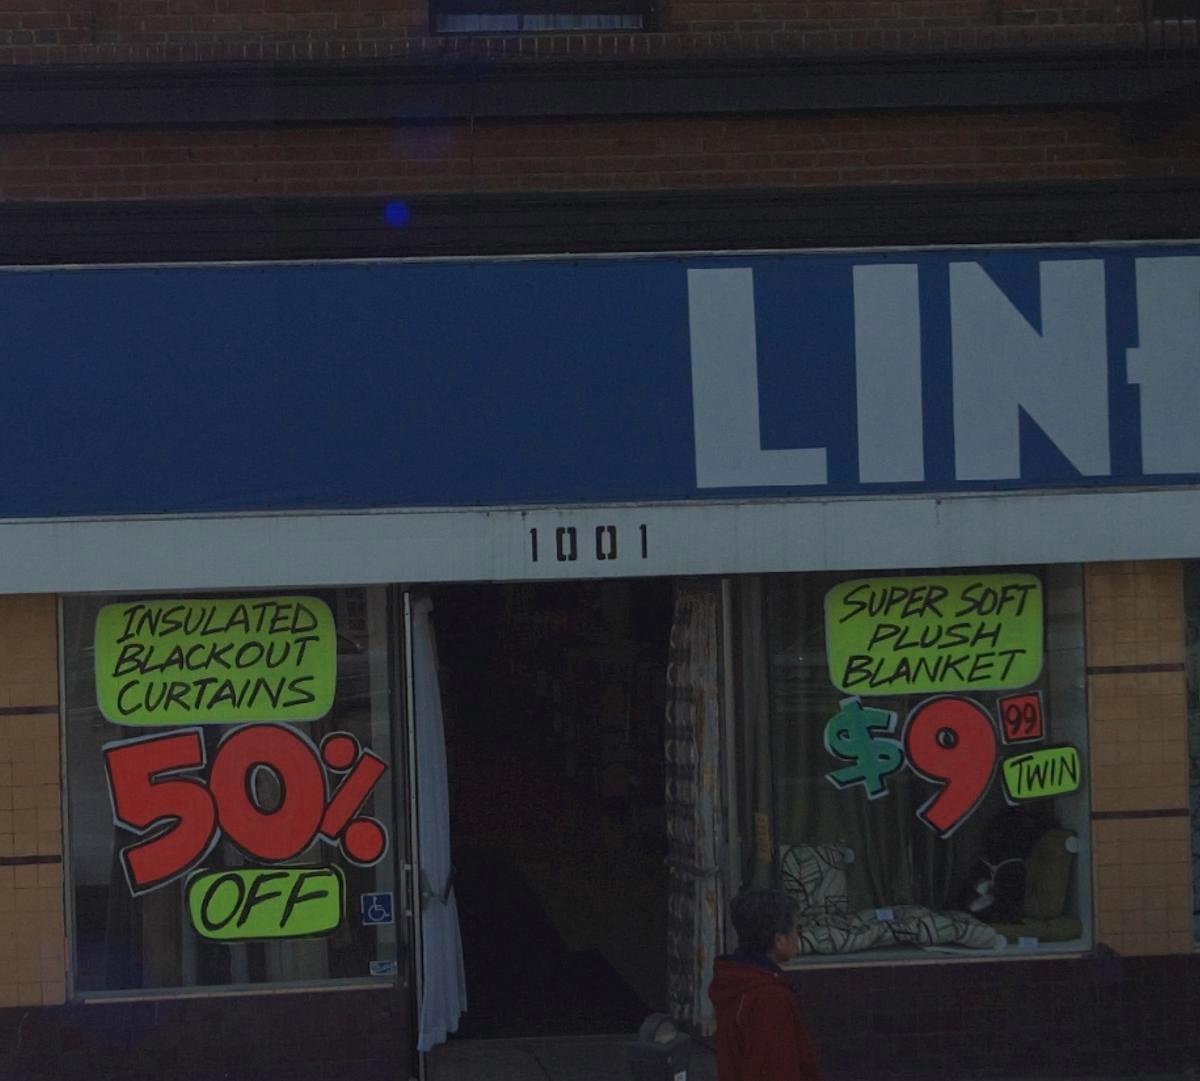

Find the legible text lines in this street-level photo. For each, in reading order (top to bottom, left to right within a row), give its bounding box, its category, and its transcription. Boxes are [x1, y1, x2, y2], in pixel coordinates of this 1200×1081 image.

[684, 256, 1113, 491] BusinessName: LIN
[529, 523, 648, 564] StreetNumber: 1001
[107, 634, 322, 679] None: BLACKOUT
[115, 600, 319, 645] None: INSULATED
[839, 648, 1028, 690] None: BLANKET
[864, 622, 1004, 653] None: PLUSH
[835, 581, 1038, 625] None: SUPER SOFT
[115, 674, 316, 717] None: CURTAINS
[906, 695, 1040, 835] None: 999
[1008, 752, 1078, 797] None: TWIN
[102, 721, 328, 891] None: 50
[197, 869, 338, 932] None: OFF